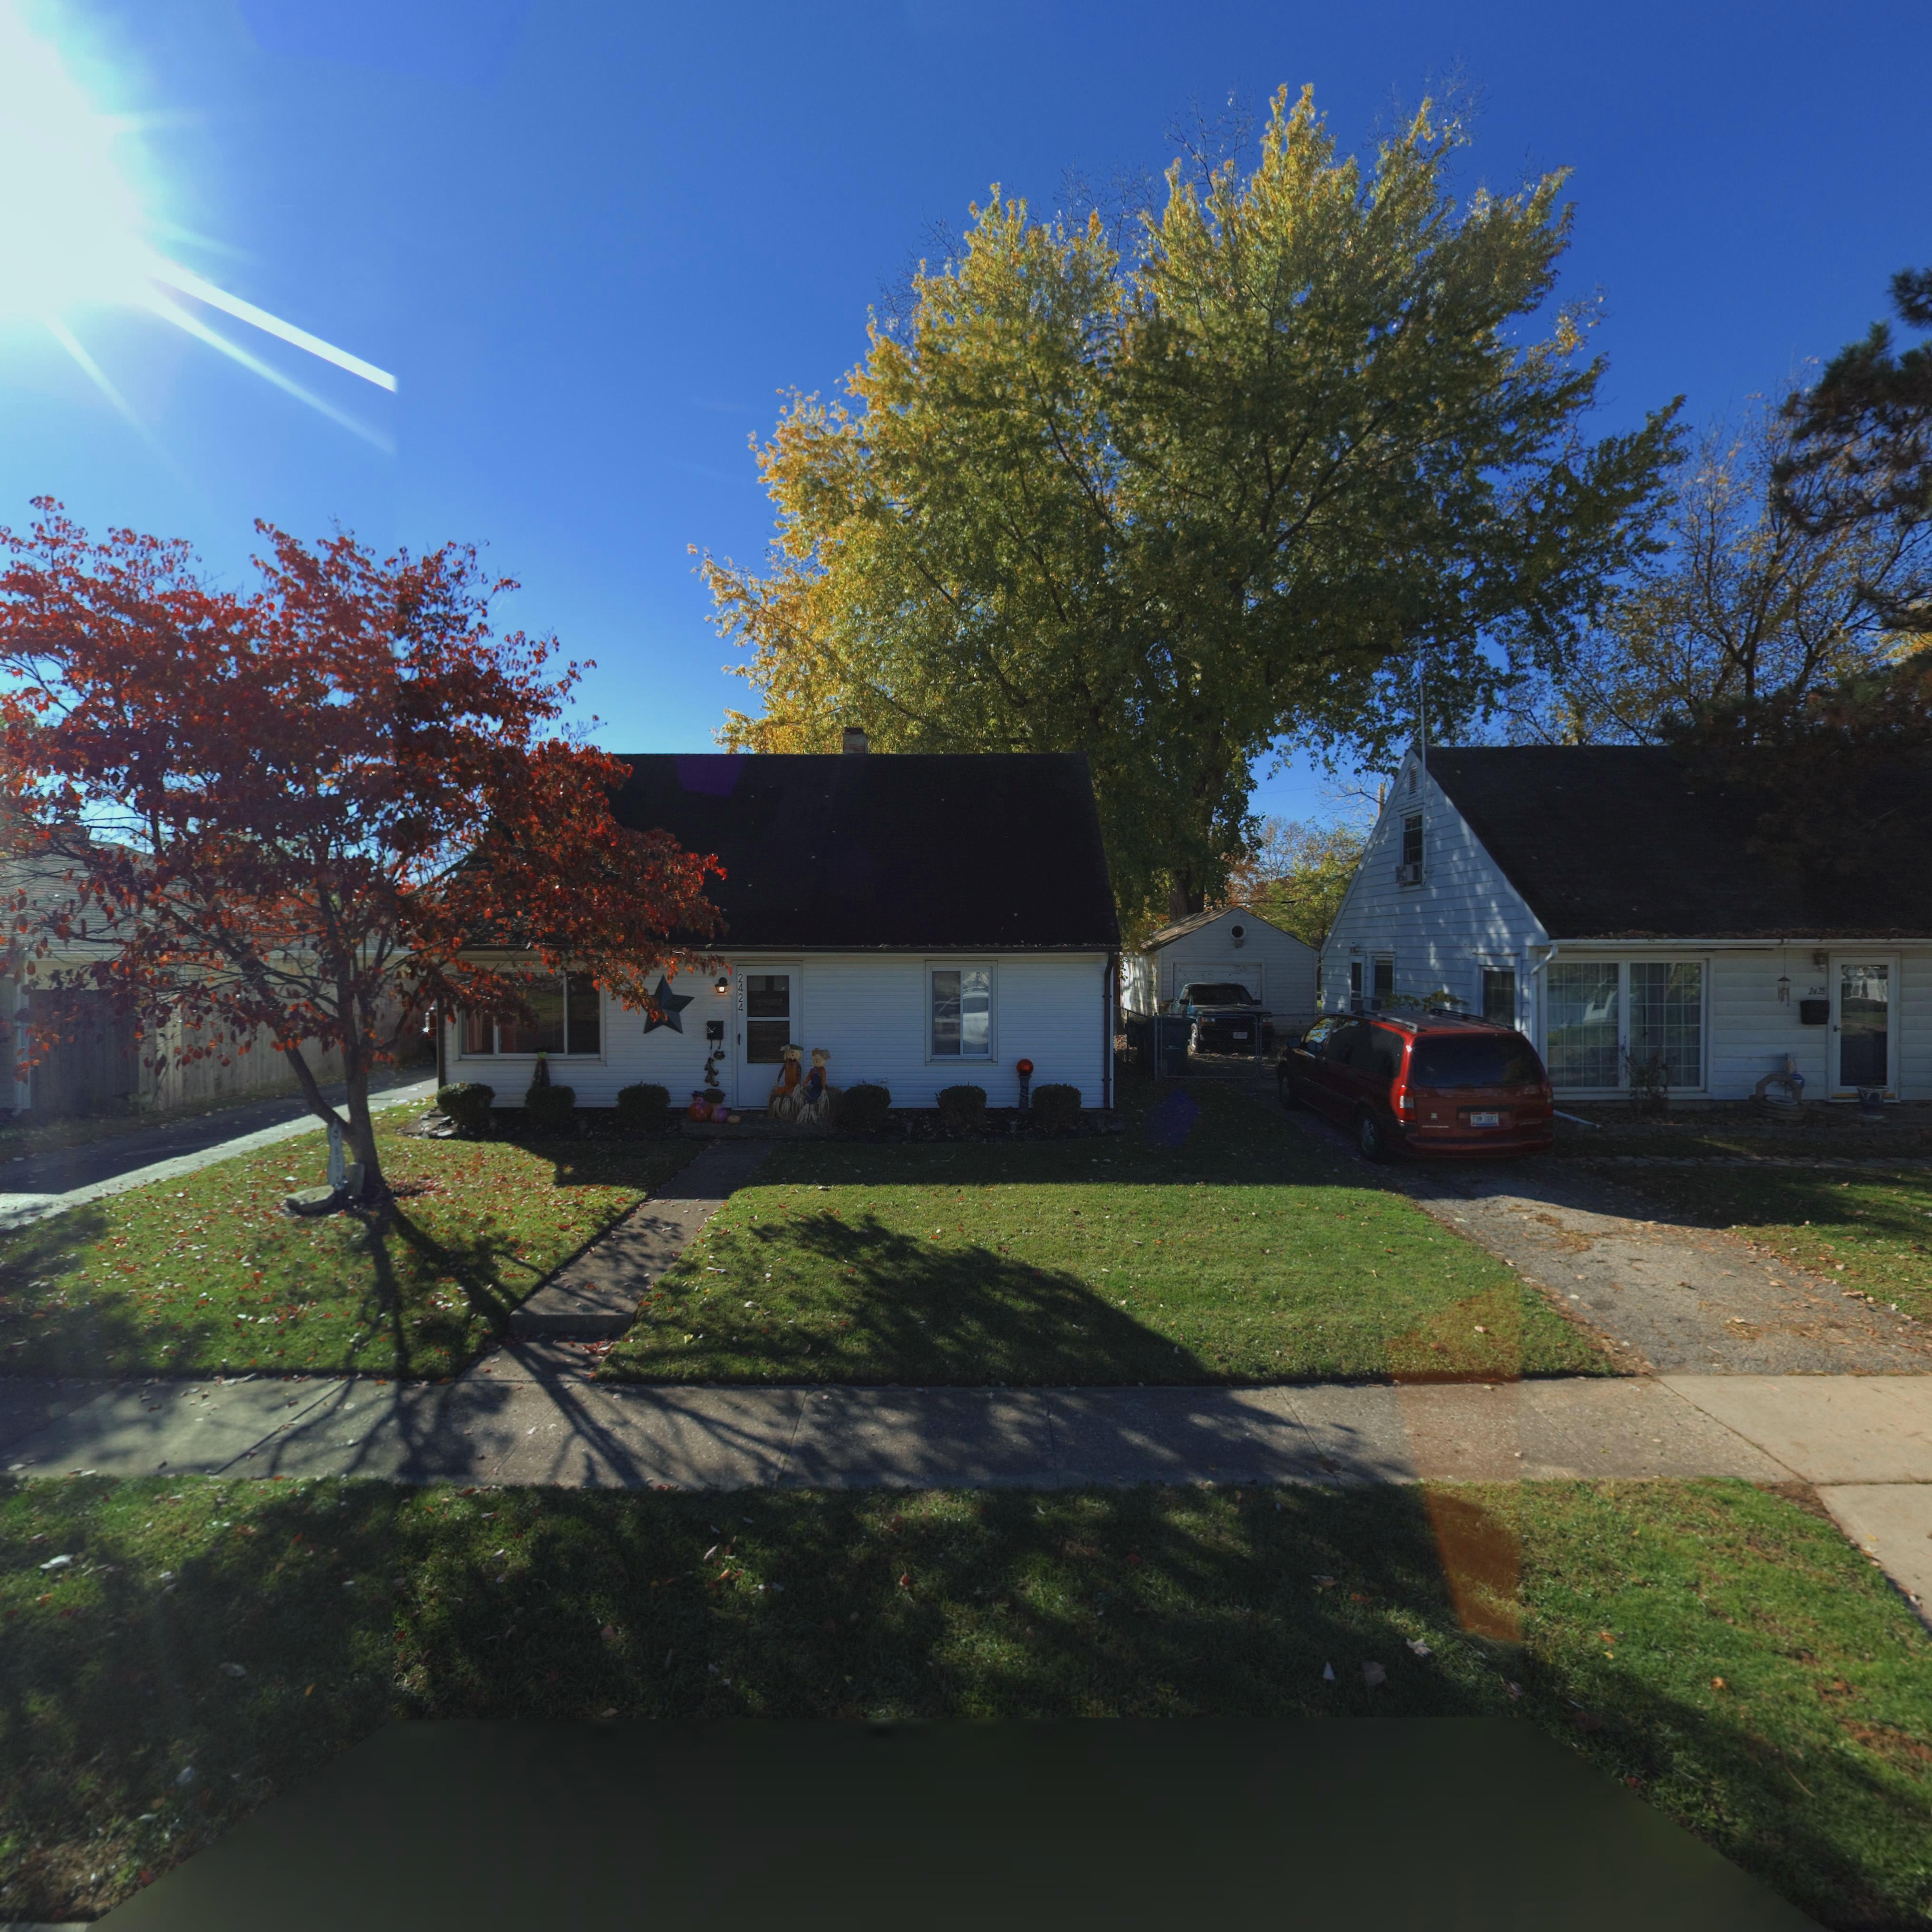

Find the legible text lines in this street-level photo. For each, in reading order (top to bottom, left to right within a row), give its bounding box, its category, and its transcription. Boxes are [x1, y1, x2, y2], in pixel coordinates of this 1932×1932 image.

[737, 973, 744, 1013] StreetNumber: 2424
[1807, 986, 1826, 995] StreetNumber: 2428
[1471, 1115, 1497, 1124] None: EUM**687